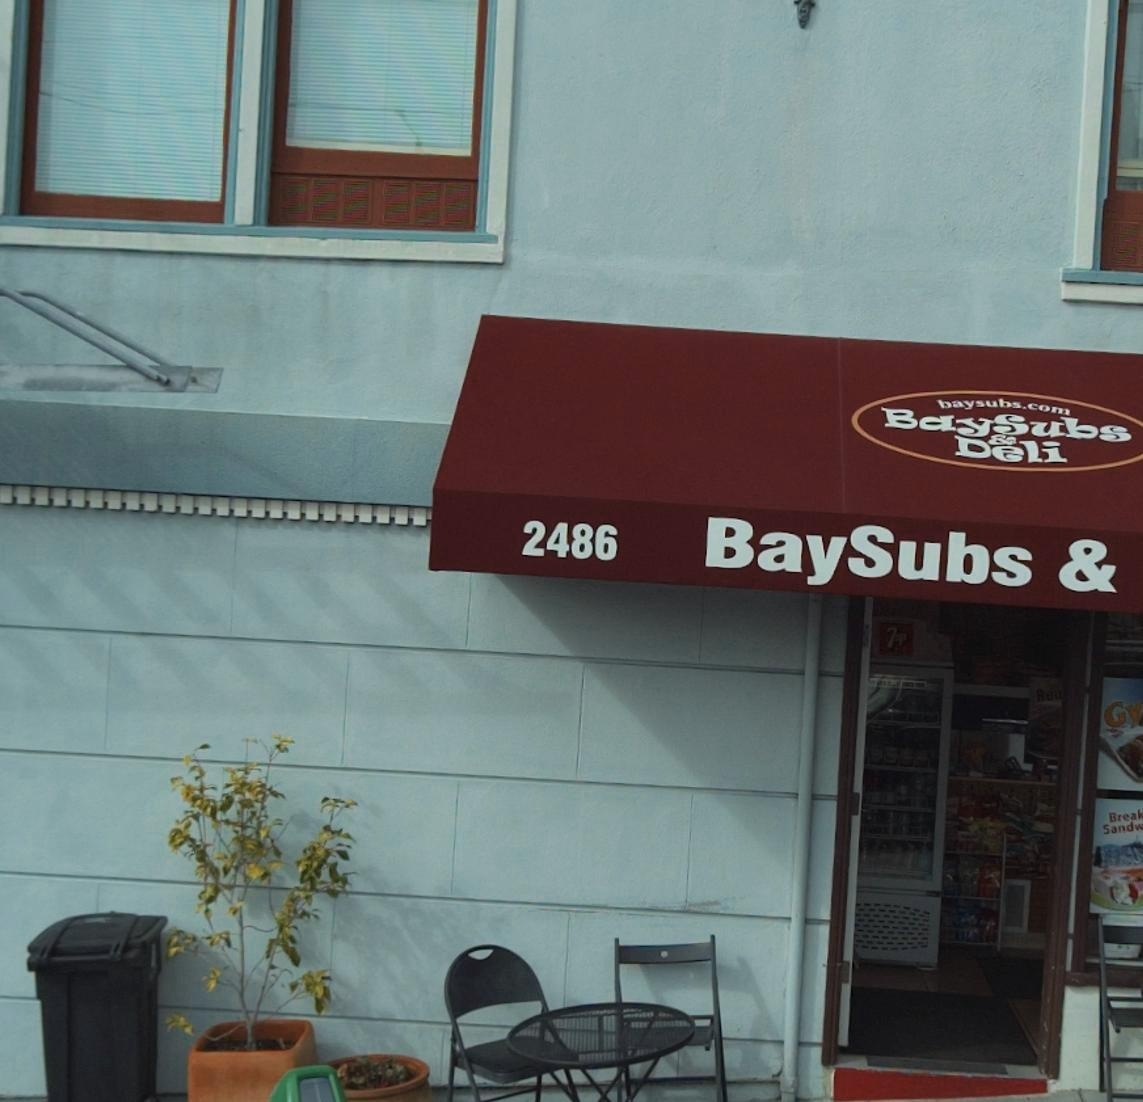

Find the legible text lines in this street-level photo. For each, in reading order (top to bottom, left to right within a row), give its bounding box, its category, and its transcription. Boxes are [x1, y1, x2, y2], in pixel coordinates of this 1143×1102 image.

[935, 395, 1072, 416] None: baysubs.com
[879, 404, 1135, 443] BusinessName: BaySubs
[953, 433, 1070, 465] BusinessName: Deli
[520, 517, 621, 563] StreetNumber: 2486
[703, 513, 1120, 596] BusinessName: BaySubs &
[884, 624, 910, 652] None: 7**
[1036, 688, 1063, 704] None: Reu
[1102, 698, 1141, 729] None: Gy
[1102, 819, 1135, 837] None: Sand
[1108, 811, 1138, 825] None: Brea